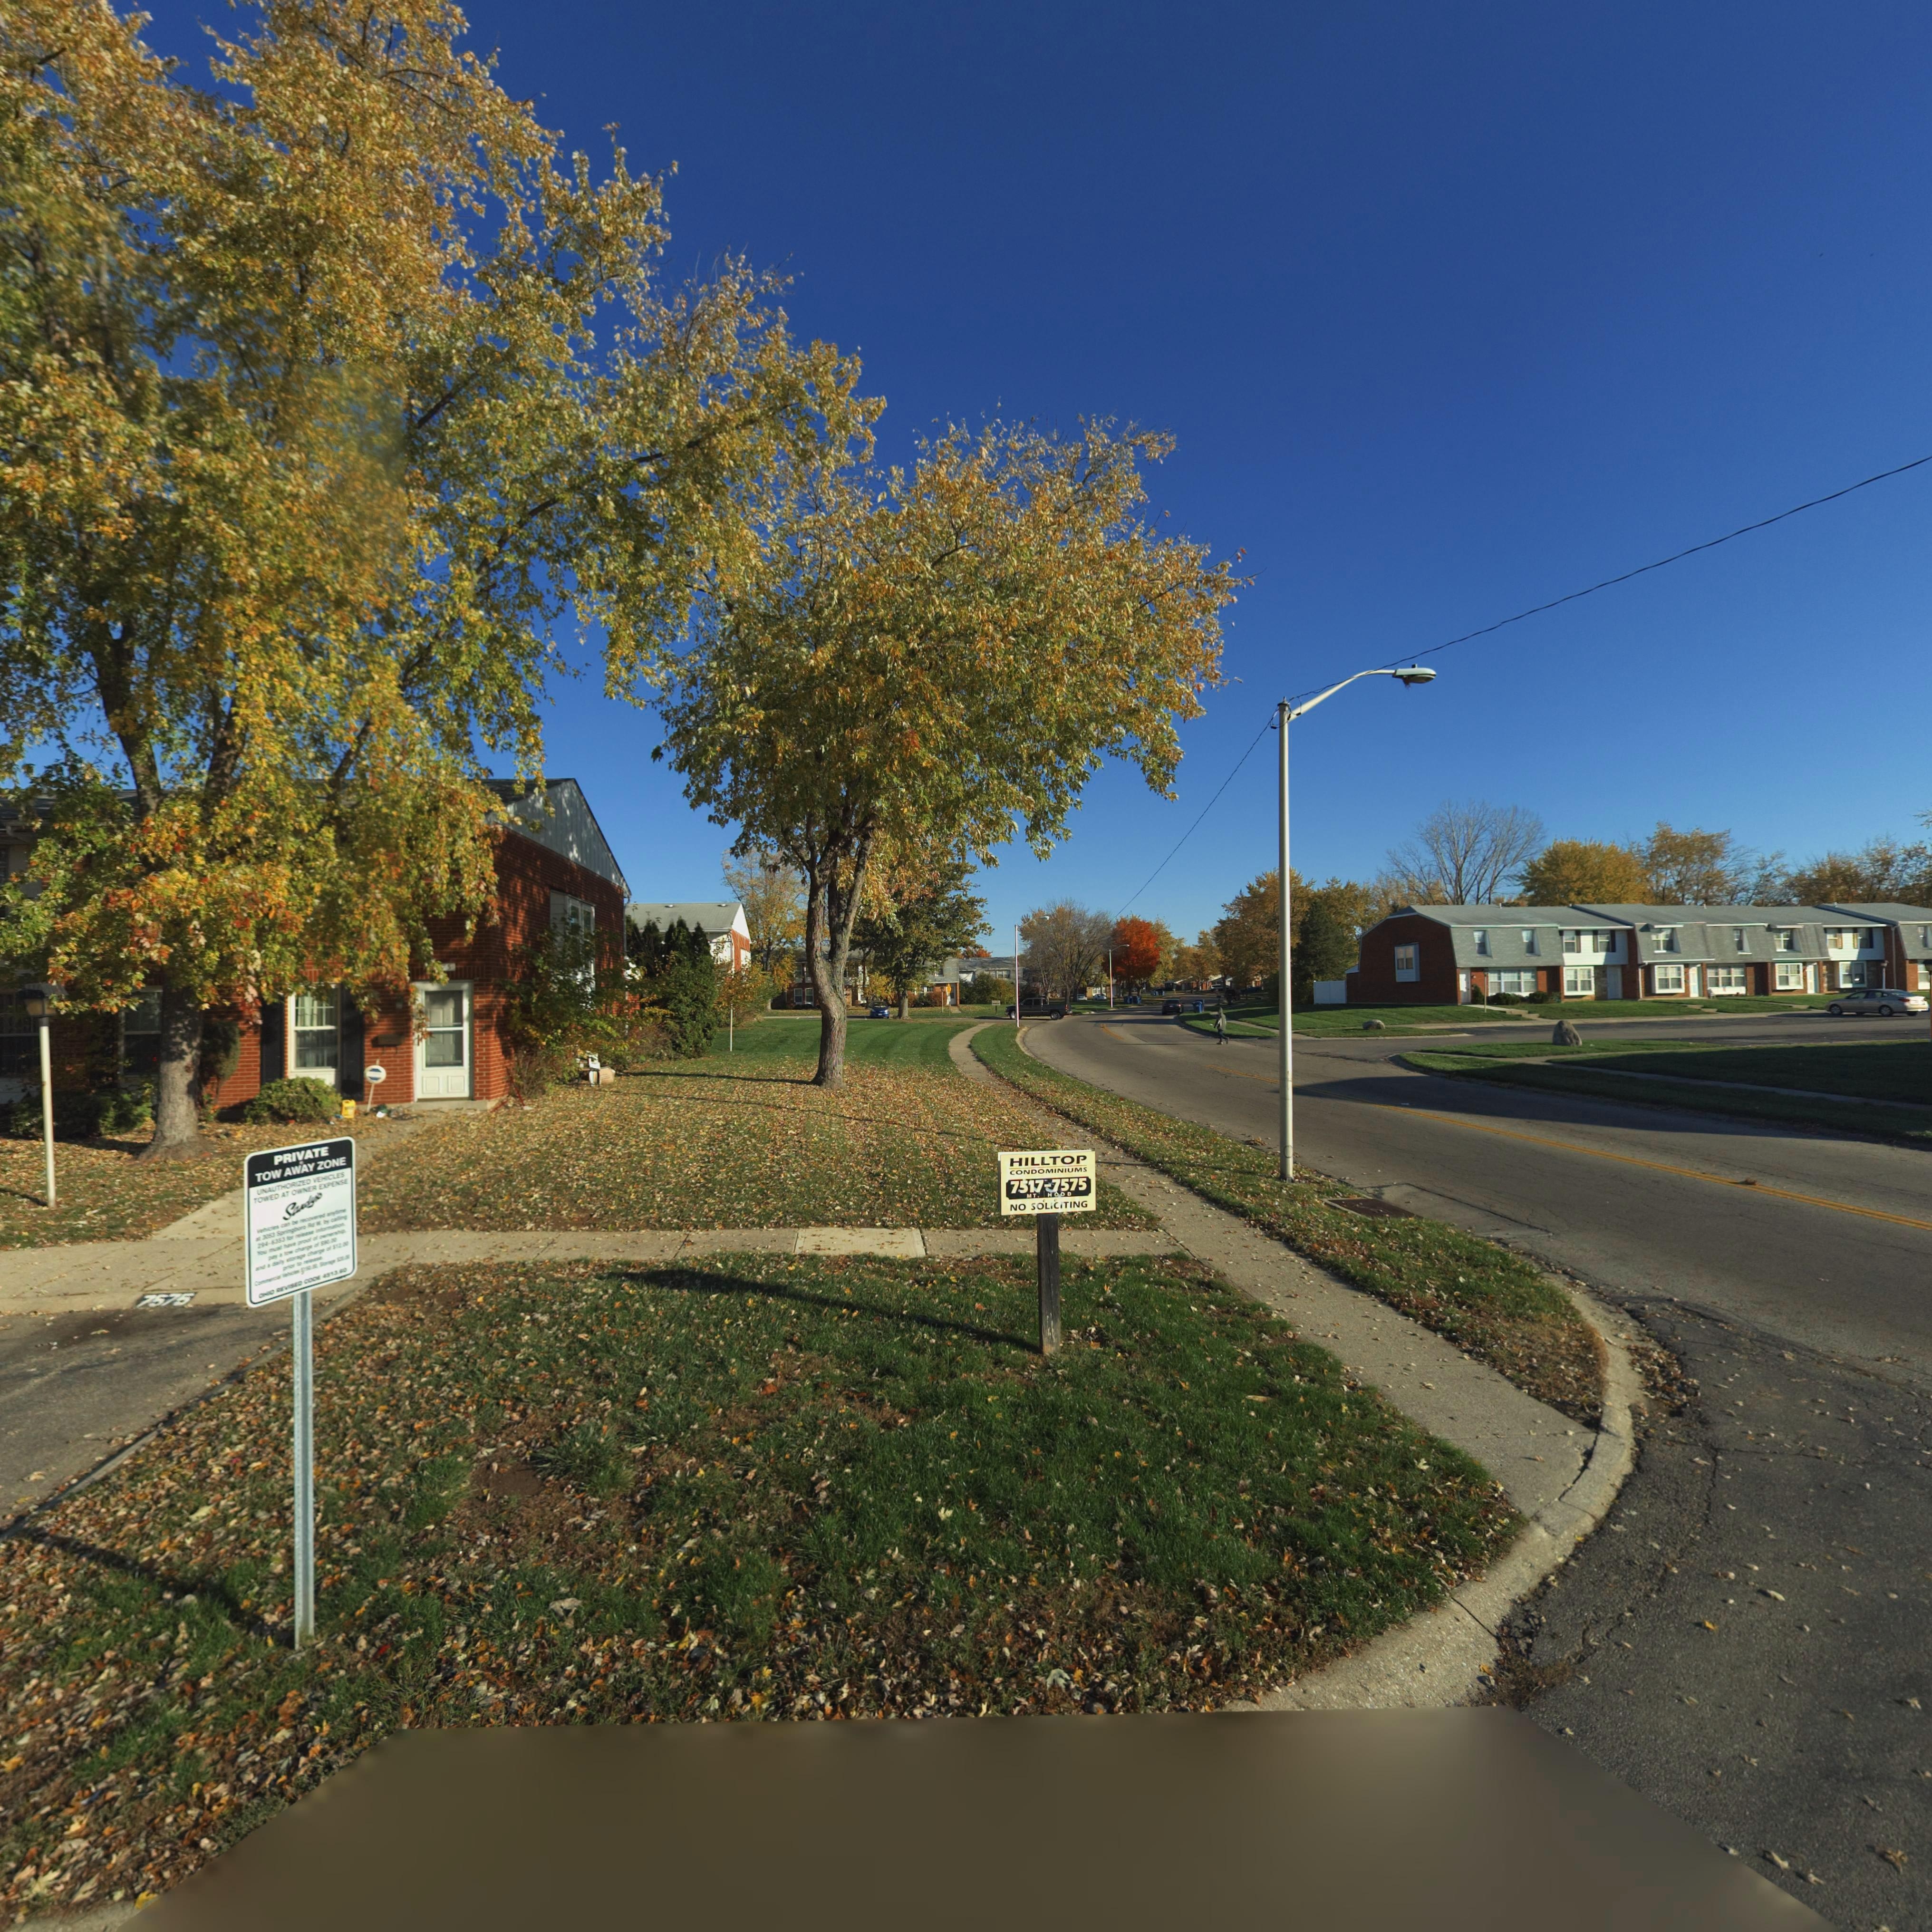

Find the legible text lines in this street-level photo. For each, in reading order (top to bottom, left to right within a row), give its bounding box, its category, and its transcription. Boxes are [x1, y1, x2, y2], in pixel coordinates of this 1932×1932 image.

[252, 1154, 347, 1184] None: TOW AWAY ZONE
[270, 1144, 330, 1167] None: PRIVATE
[1007, 1153, 1086, 1169] None: HILLTOP
[1008, 1166, 1087, 1176] None: CONDOMINIUMS
[255, 1169, 346, 1196] None: UNAUTHORIZED VEHICLES
[251, 1178, 349, 1206] None: TOWED AT OWNER EXPENSE
[1006, 1176, 1087, 1195] None: 7517-7575
[1024, 1190, 1073, 1198] None: MT. HOOD
[1008, 1200, 1088, 1211] None: NO SOLICITING
[256, 1265, 348, 1300] None: OHIO REVISED C*** **** **
[134, 1291, 198, 1310] StreetNumber: 7575